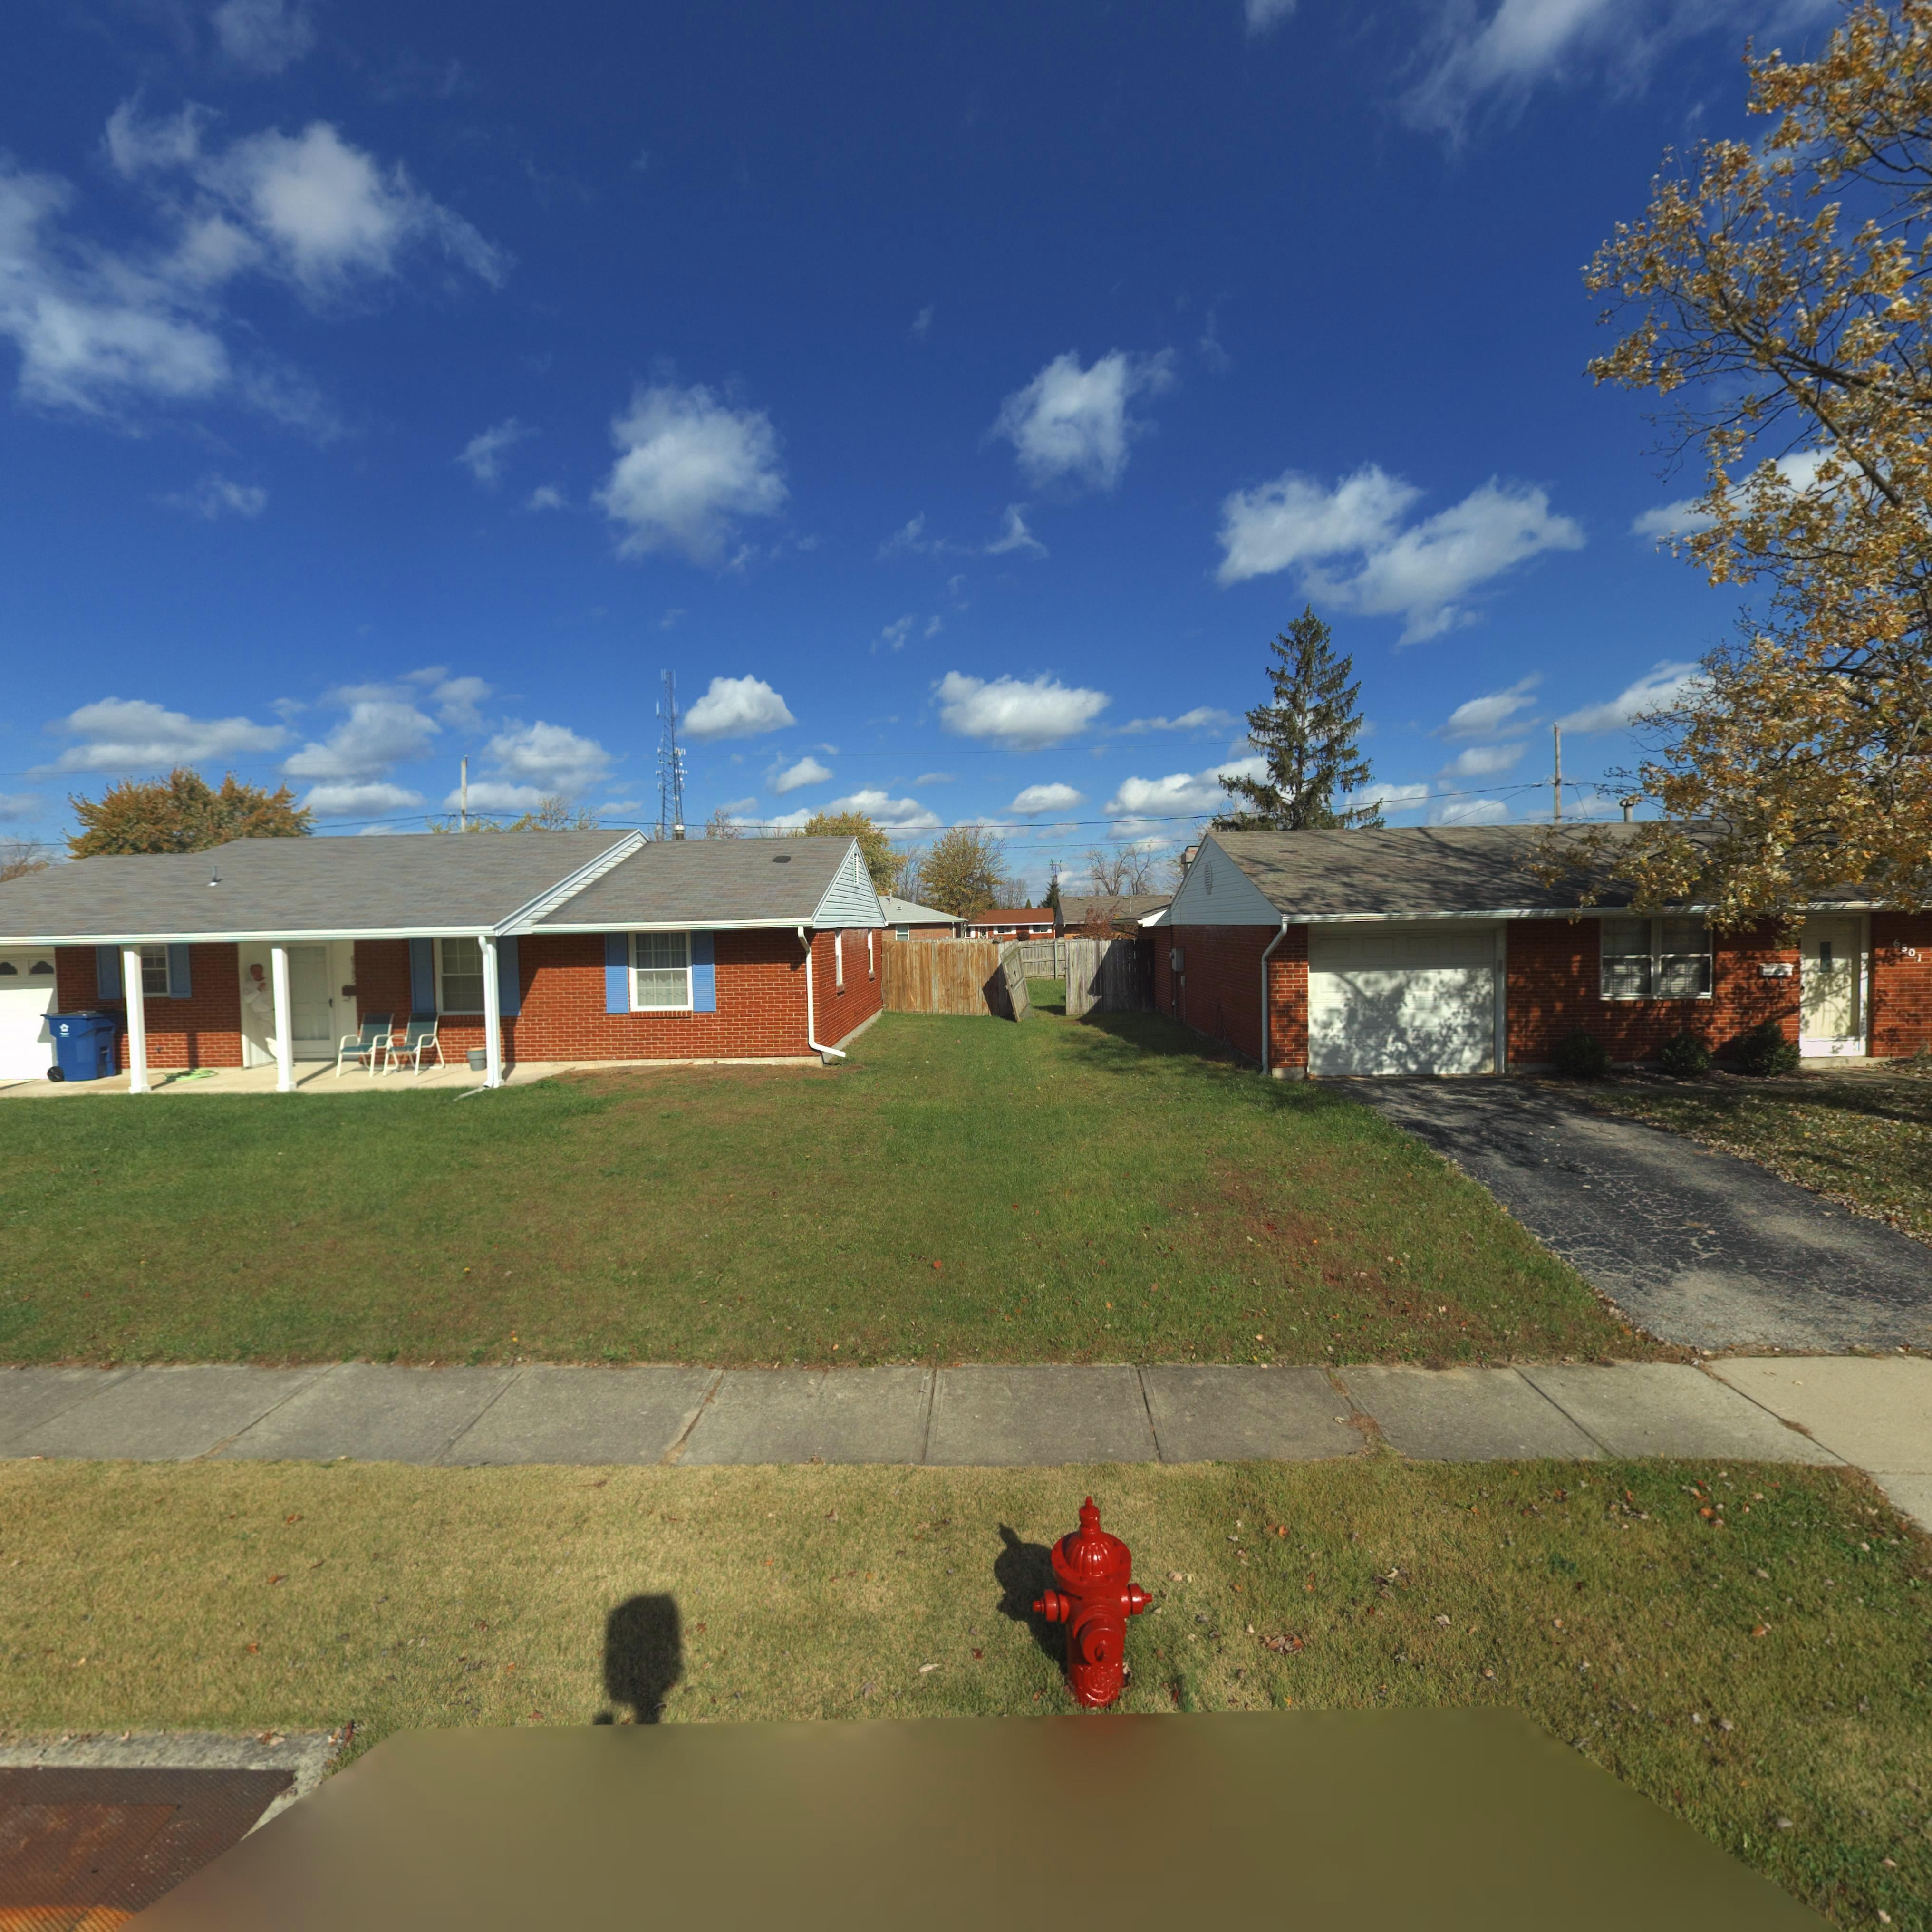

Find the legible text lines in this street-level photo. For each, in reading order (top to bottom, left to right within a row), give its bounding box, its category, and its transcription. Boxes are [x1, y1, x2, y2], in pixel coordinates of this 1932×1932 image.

[1892, 937, 1922, 963] StreetNumber: 6801
[350, 954, 357, 983] StreetNumber: 67*5